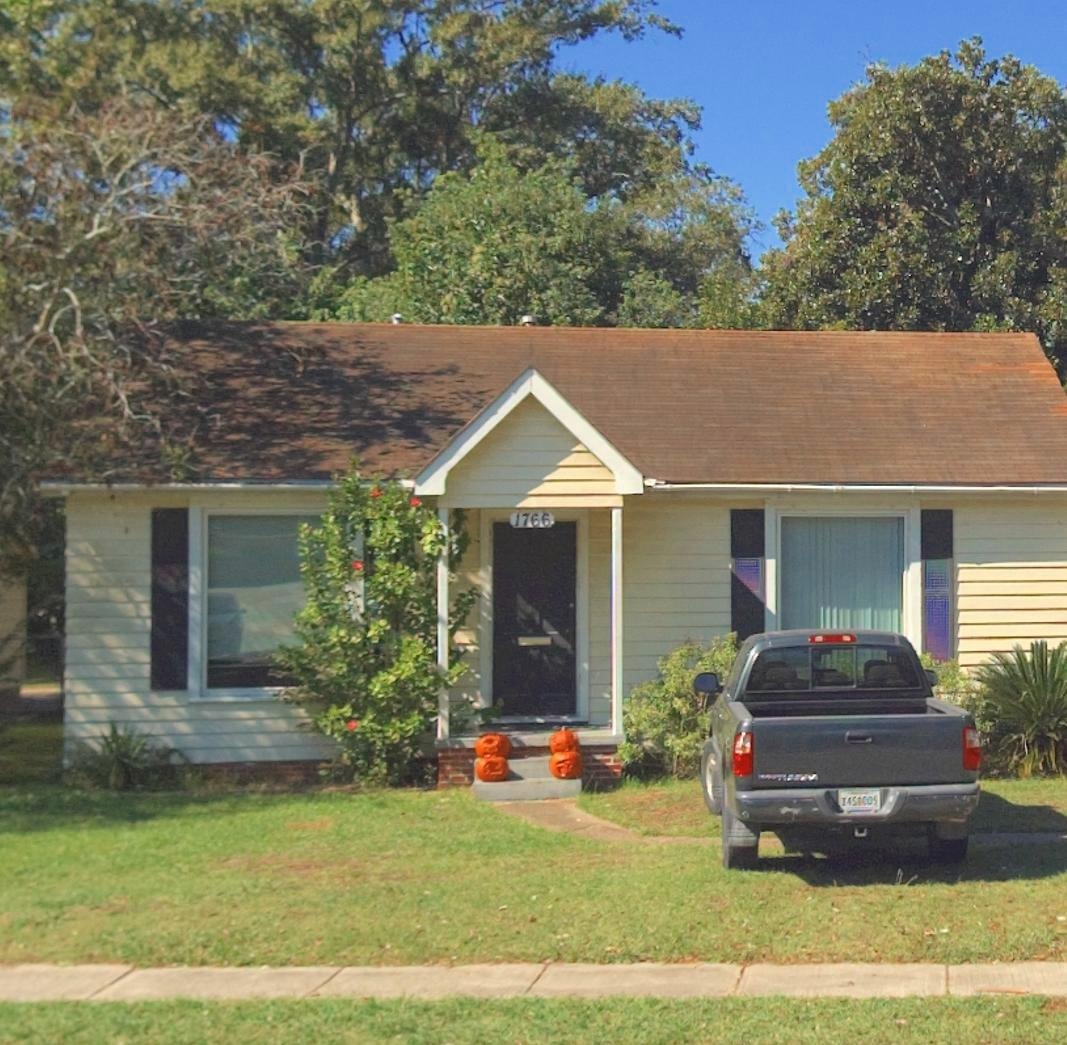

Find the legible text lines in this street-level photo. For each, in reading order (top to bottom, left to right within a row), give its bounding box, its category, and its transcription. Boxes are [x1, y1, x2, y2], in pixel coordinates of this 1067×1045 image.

[512, 511, 553, 529] StreetNumber: 1766
[838, 792, 880, 809] None: *45*COS